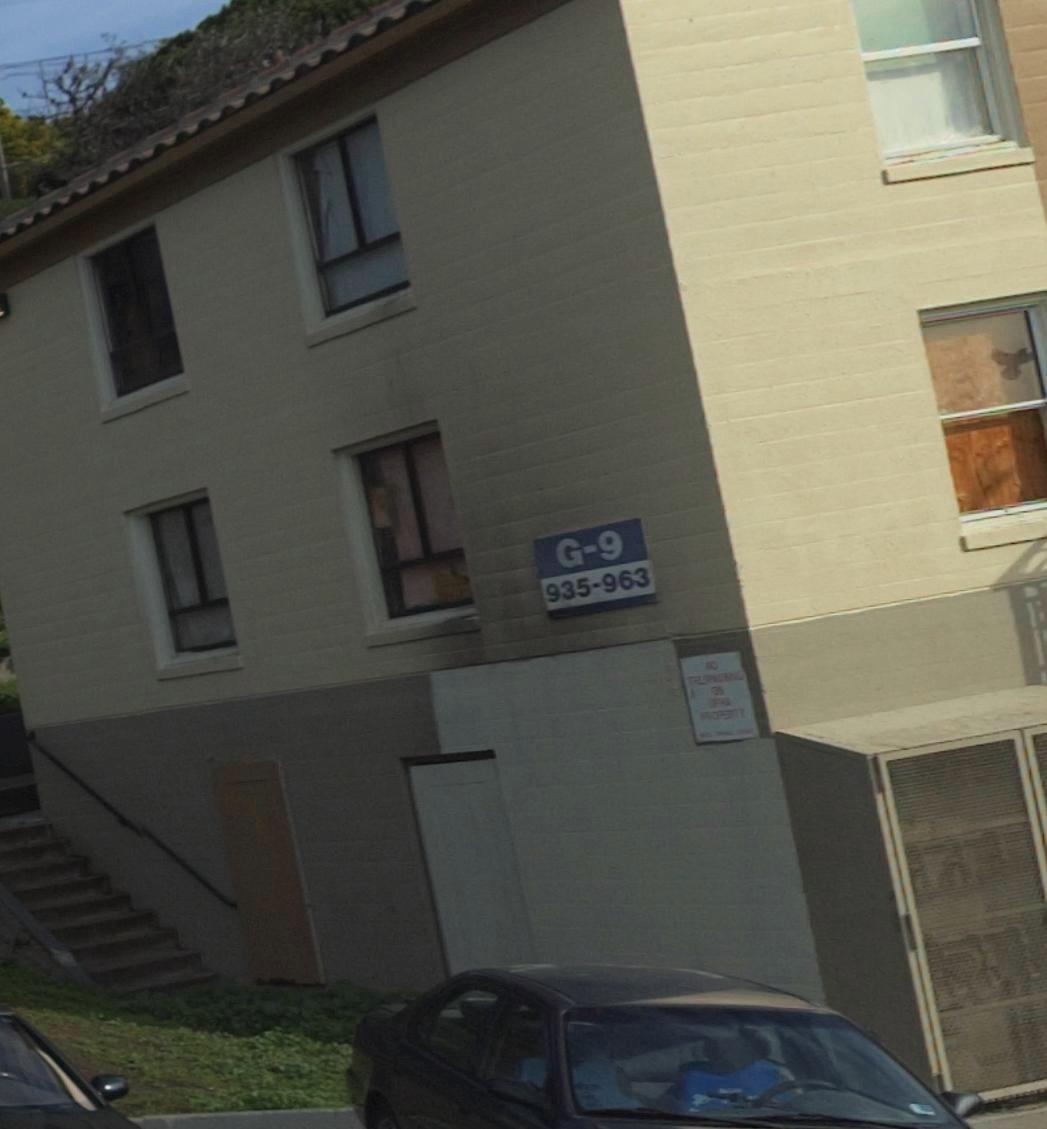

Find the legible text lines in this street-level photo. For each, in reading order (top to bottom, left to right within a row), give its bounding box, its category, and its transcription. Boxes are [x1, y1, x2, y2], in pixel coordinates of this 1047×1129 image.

[551, 527, 627, 571] None: G-9
[543, 574, 594, 605] StreetNumber: 935
[599, 564, 652, 596] StreetNumber: 963
[704, 658, 722, 673] None: NO
[686, 669, 747, 688] None: TRESPASSING
[710, 684, 726, 697] None: ON
[698, 706, 747, 723] None: PROPERTY